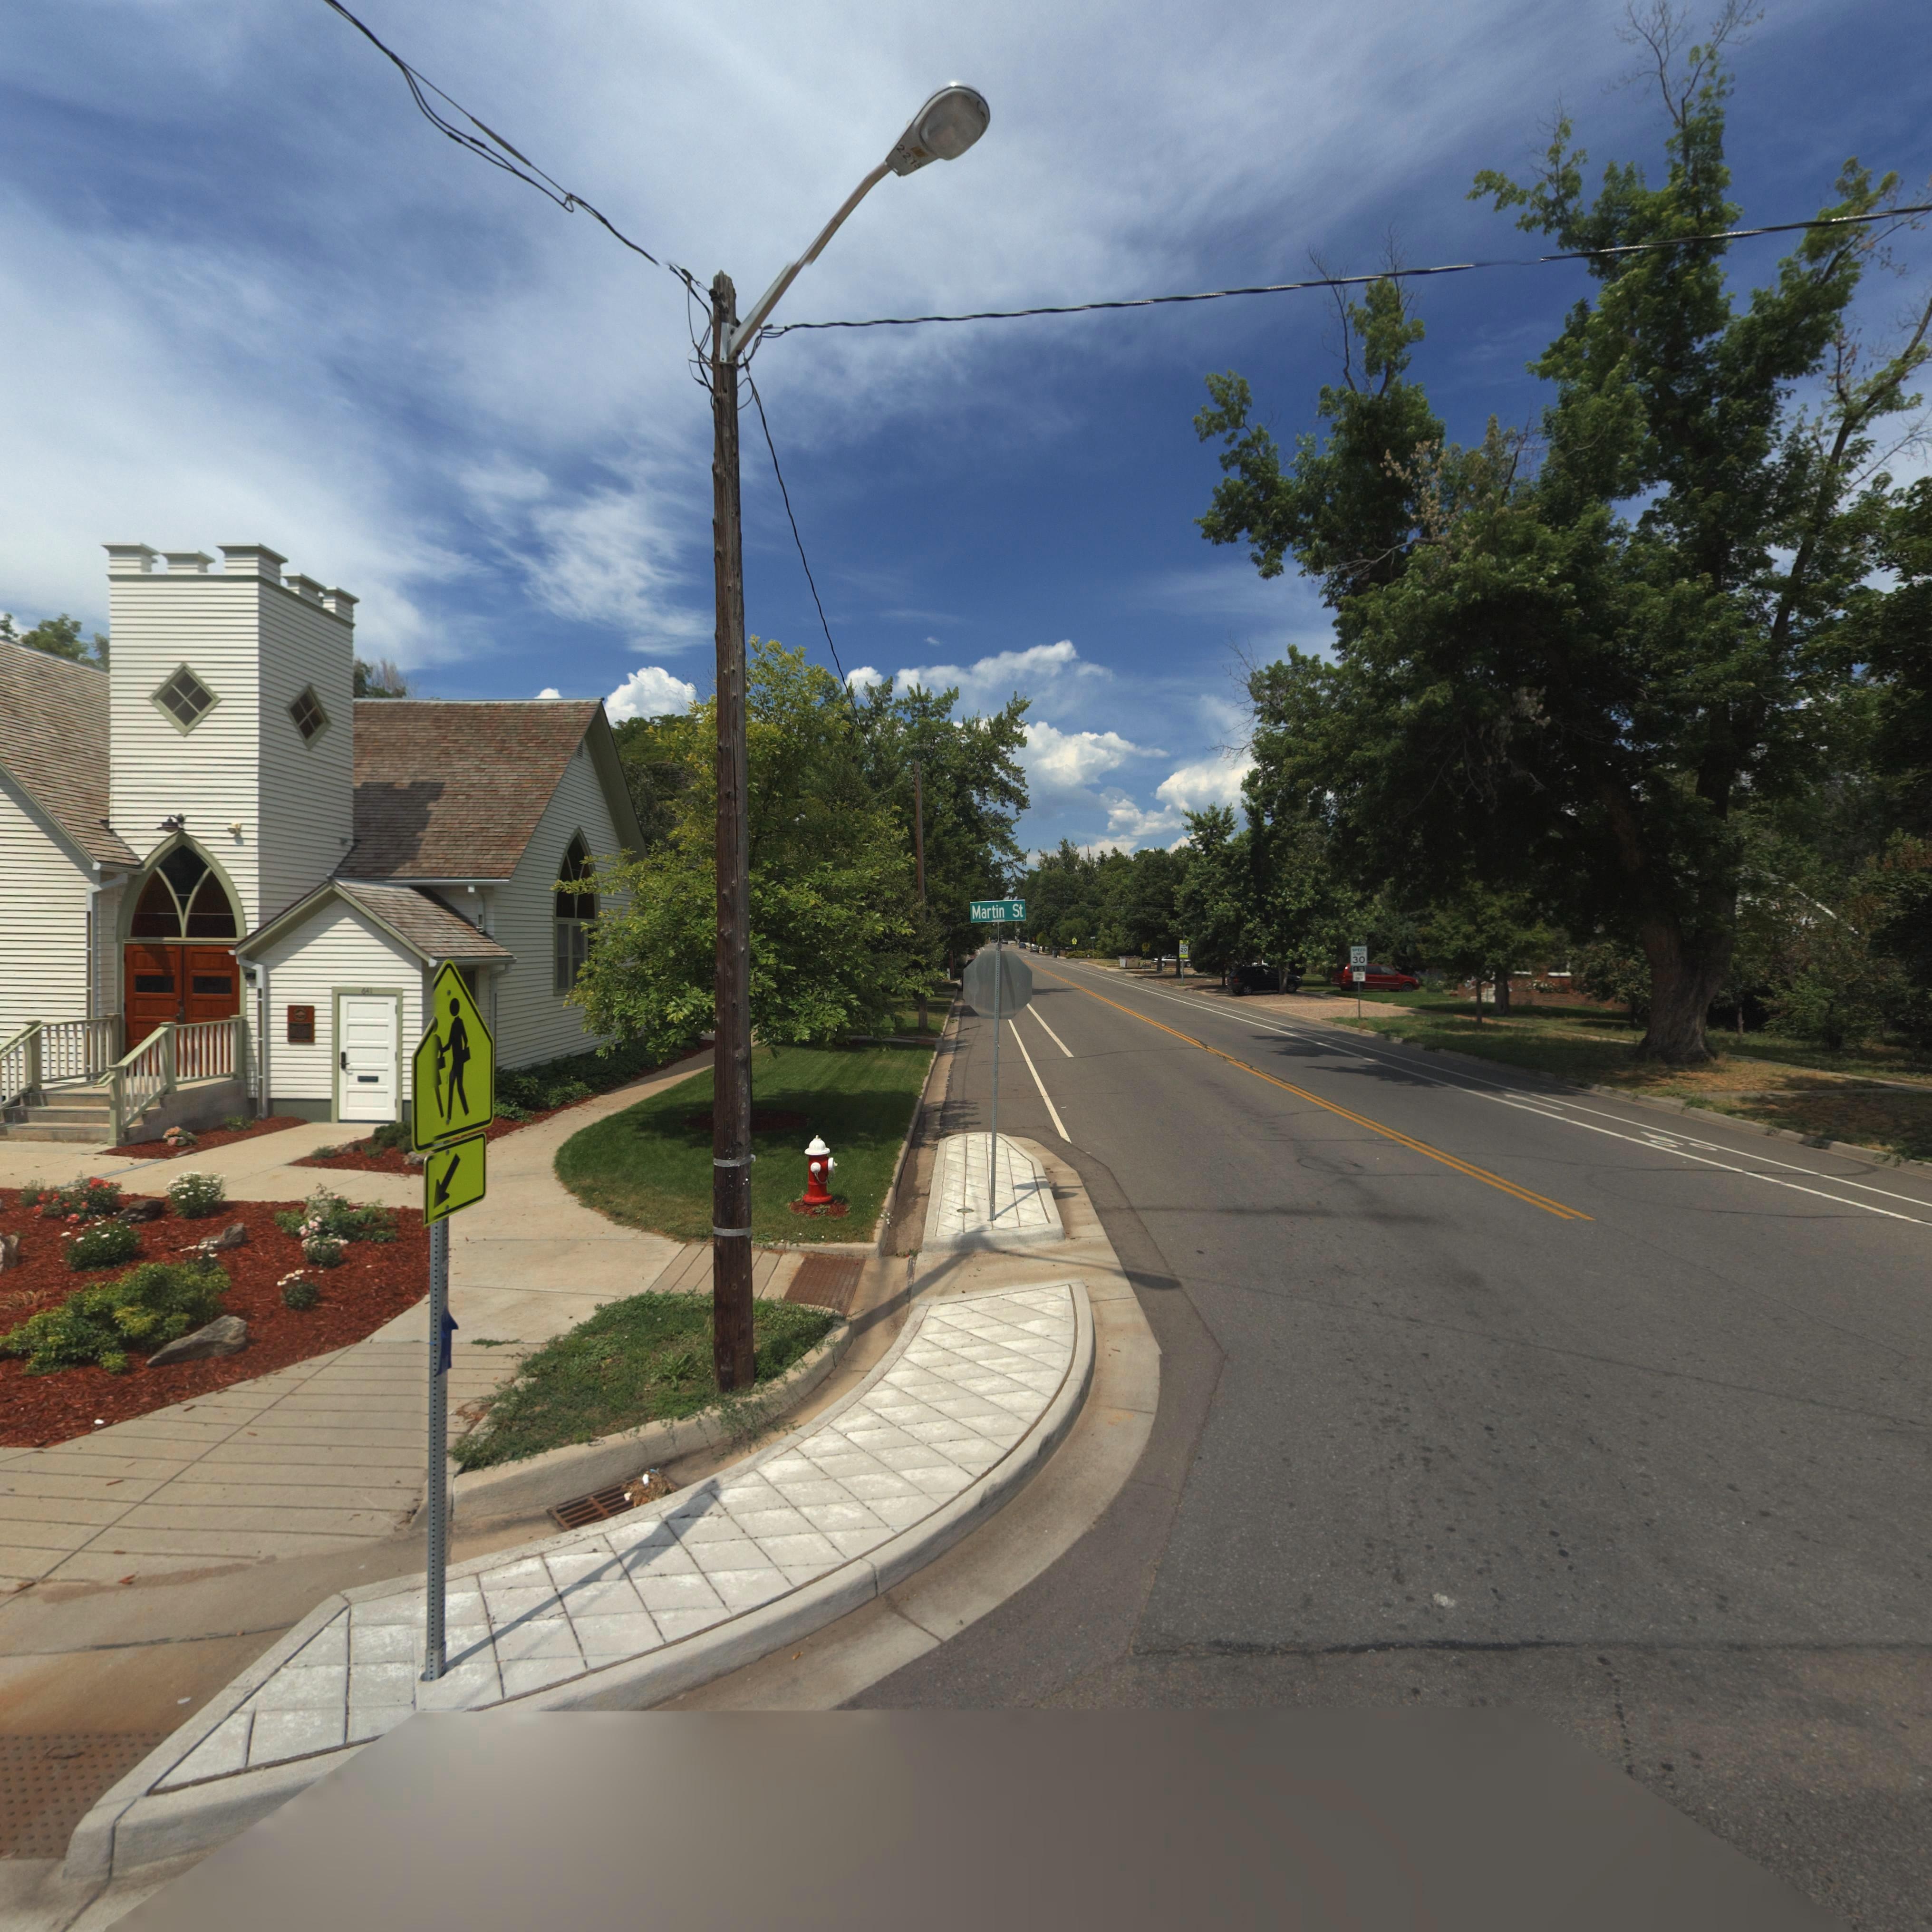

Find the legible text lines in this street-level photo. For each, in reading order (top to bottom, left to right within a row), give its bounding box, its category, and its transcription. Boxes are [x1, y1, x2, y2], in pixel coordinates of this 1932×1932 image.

[971, 903, 1024, 919] StreetName: Martin St
[360, 987, 372, 994] StreetNumber: 641